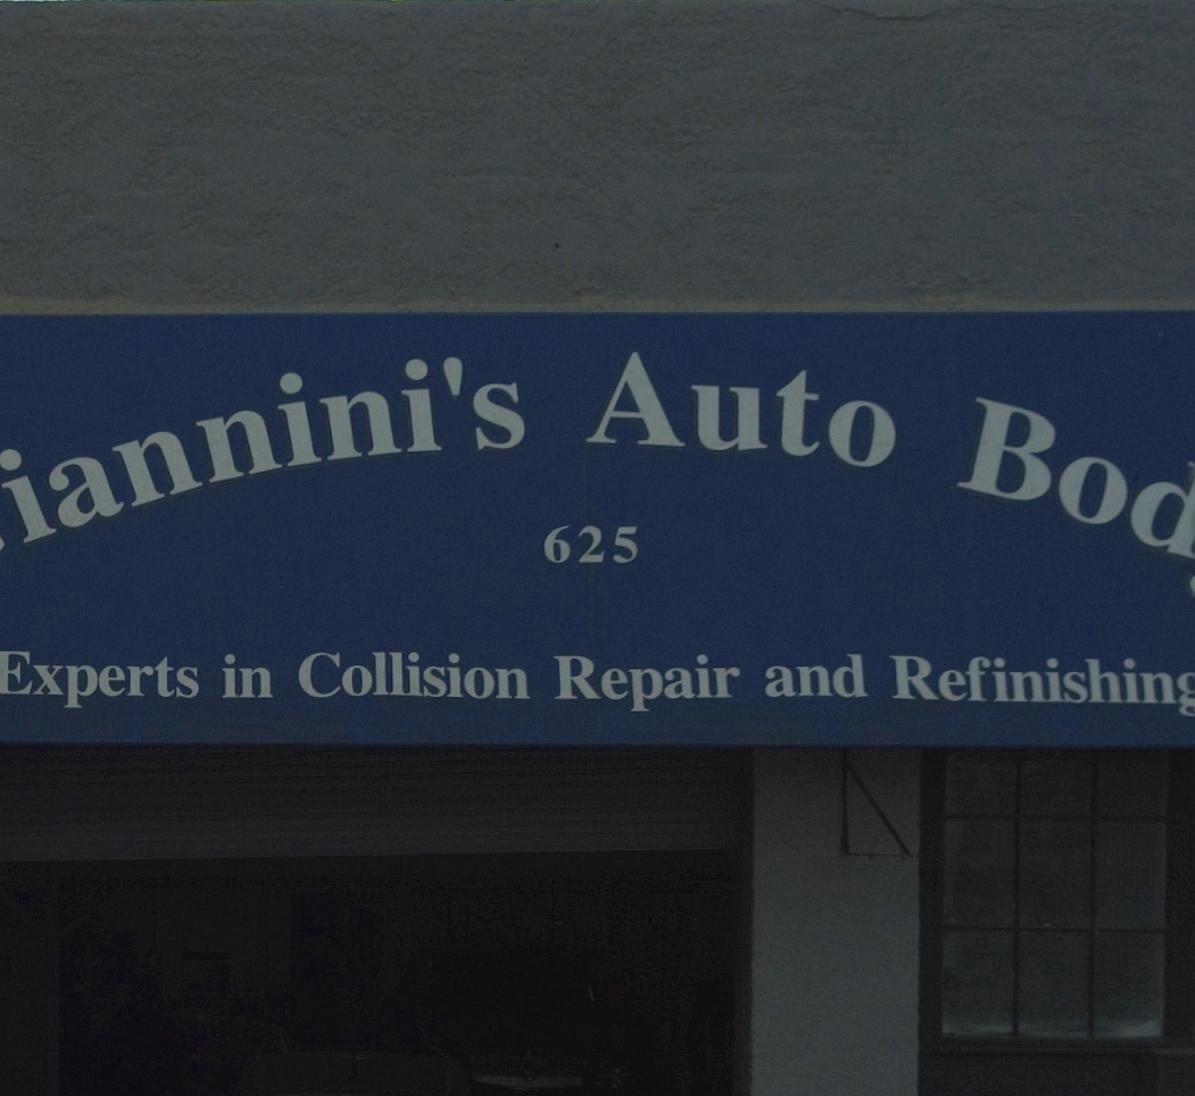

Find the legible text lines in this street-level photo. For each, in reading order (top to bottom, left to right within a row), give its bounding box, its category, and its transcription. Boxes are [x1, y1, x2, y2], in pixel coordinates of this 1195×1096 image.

[0, 353, 532, 552] BusinessName: iannini's
[541, 523, 644, 565] StreetNumber: 625
[577, 345, 1146, 531] BusinessName: Auto Bo
[0, 647, 1178, 717] None: Experts in Collision Repair and Refinishin